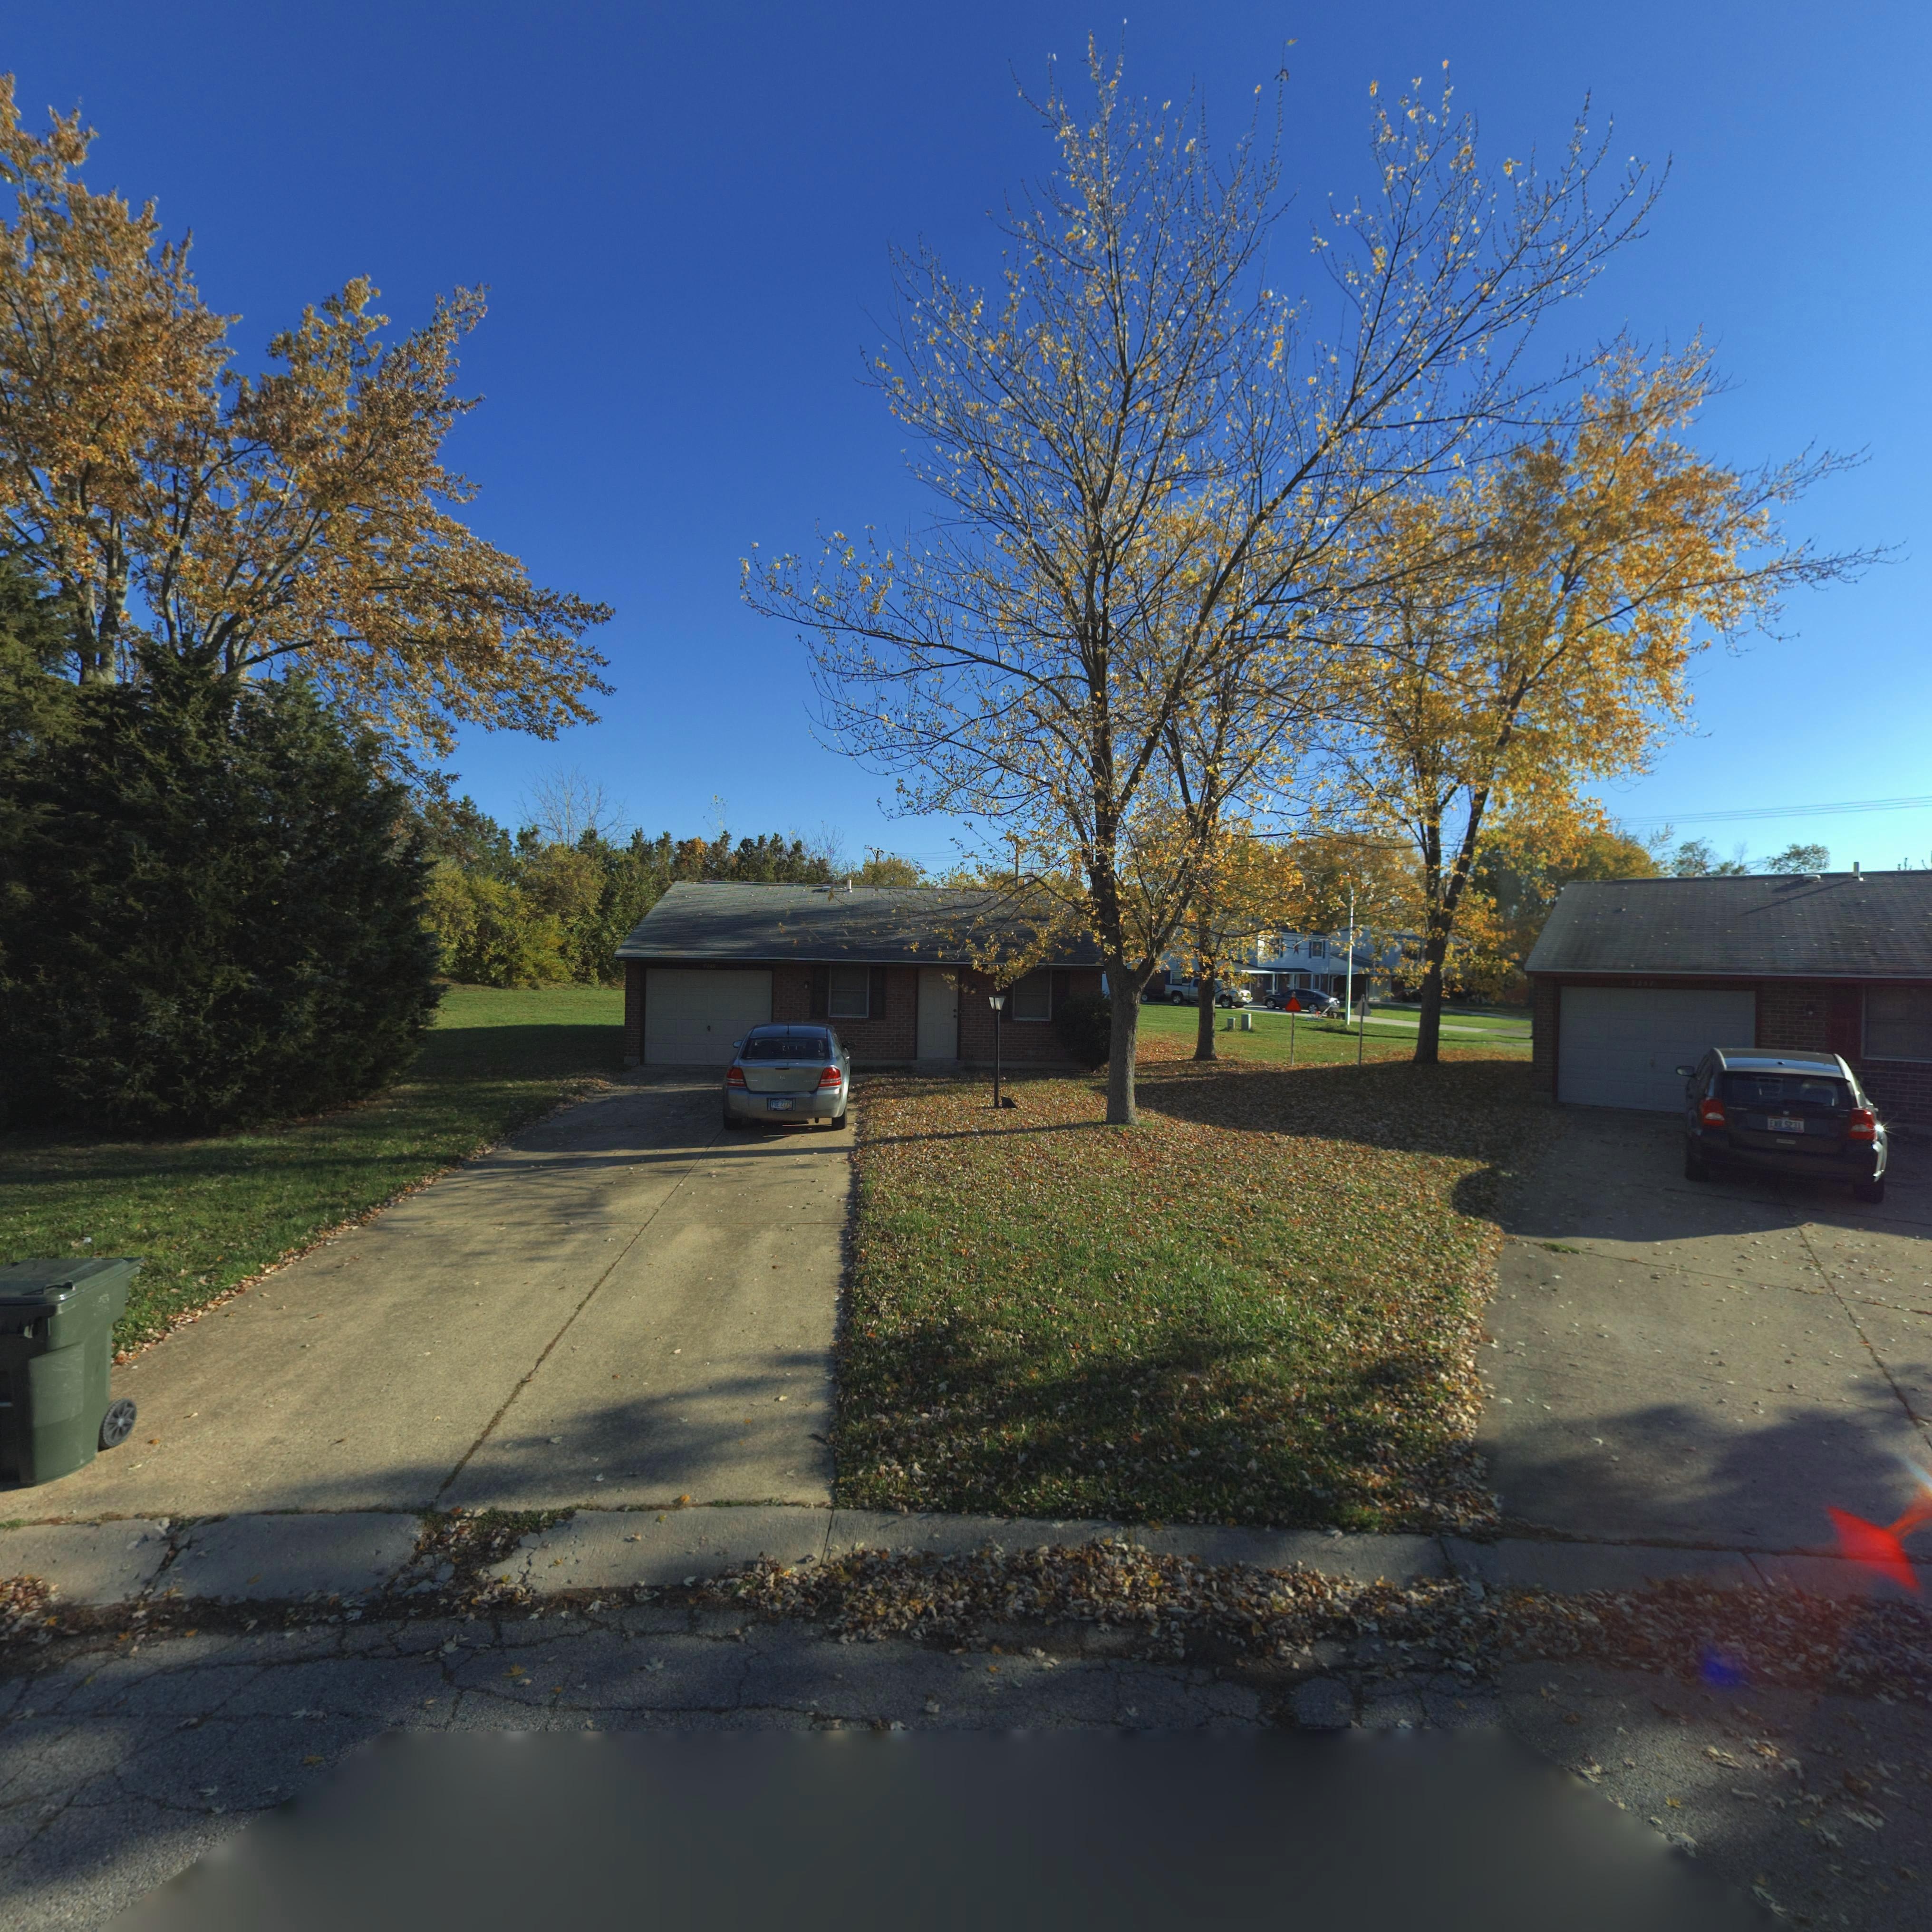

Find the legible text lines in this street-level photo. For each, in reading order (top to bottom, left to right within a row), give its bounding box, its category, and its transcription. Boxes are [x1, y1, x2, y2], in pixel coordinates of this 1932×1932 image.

[703, 963, 715, 969] StreetNumber: 8245
[1630, 979, 1654, 987] StreetNumber: 8257